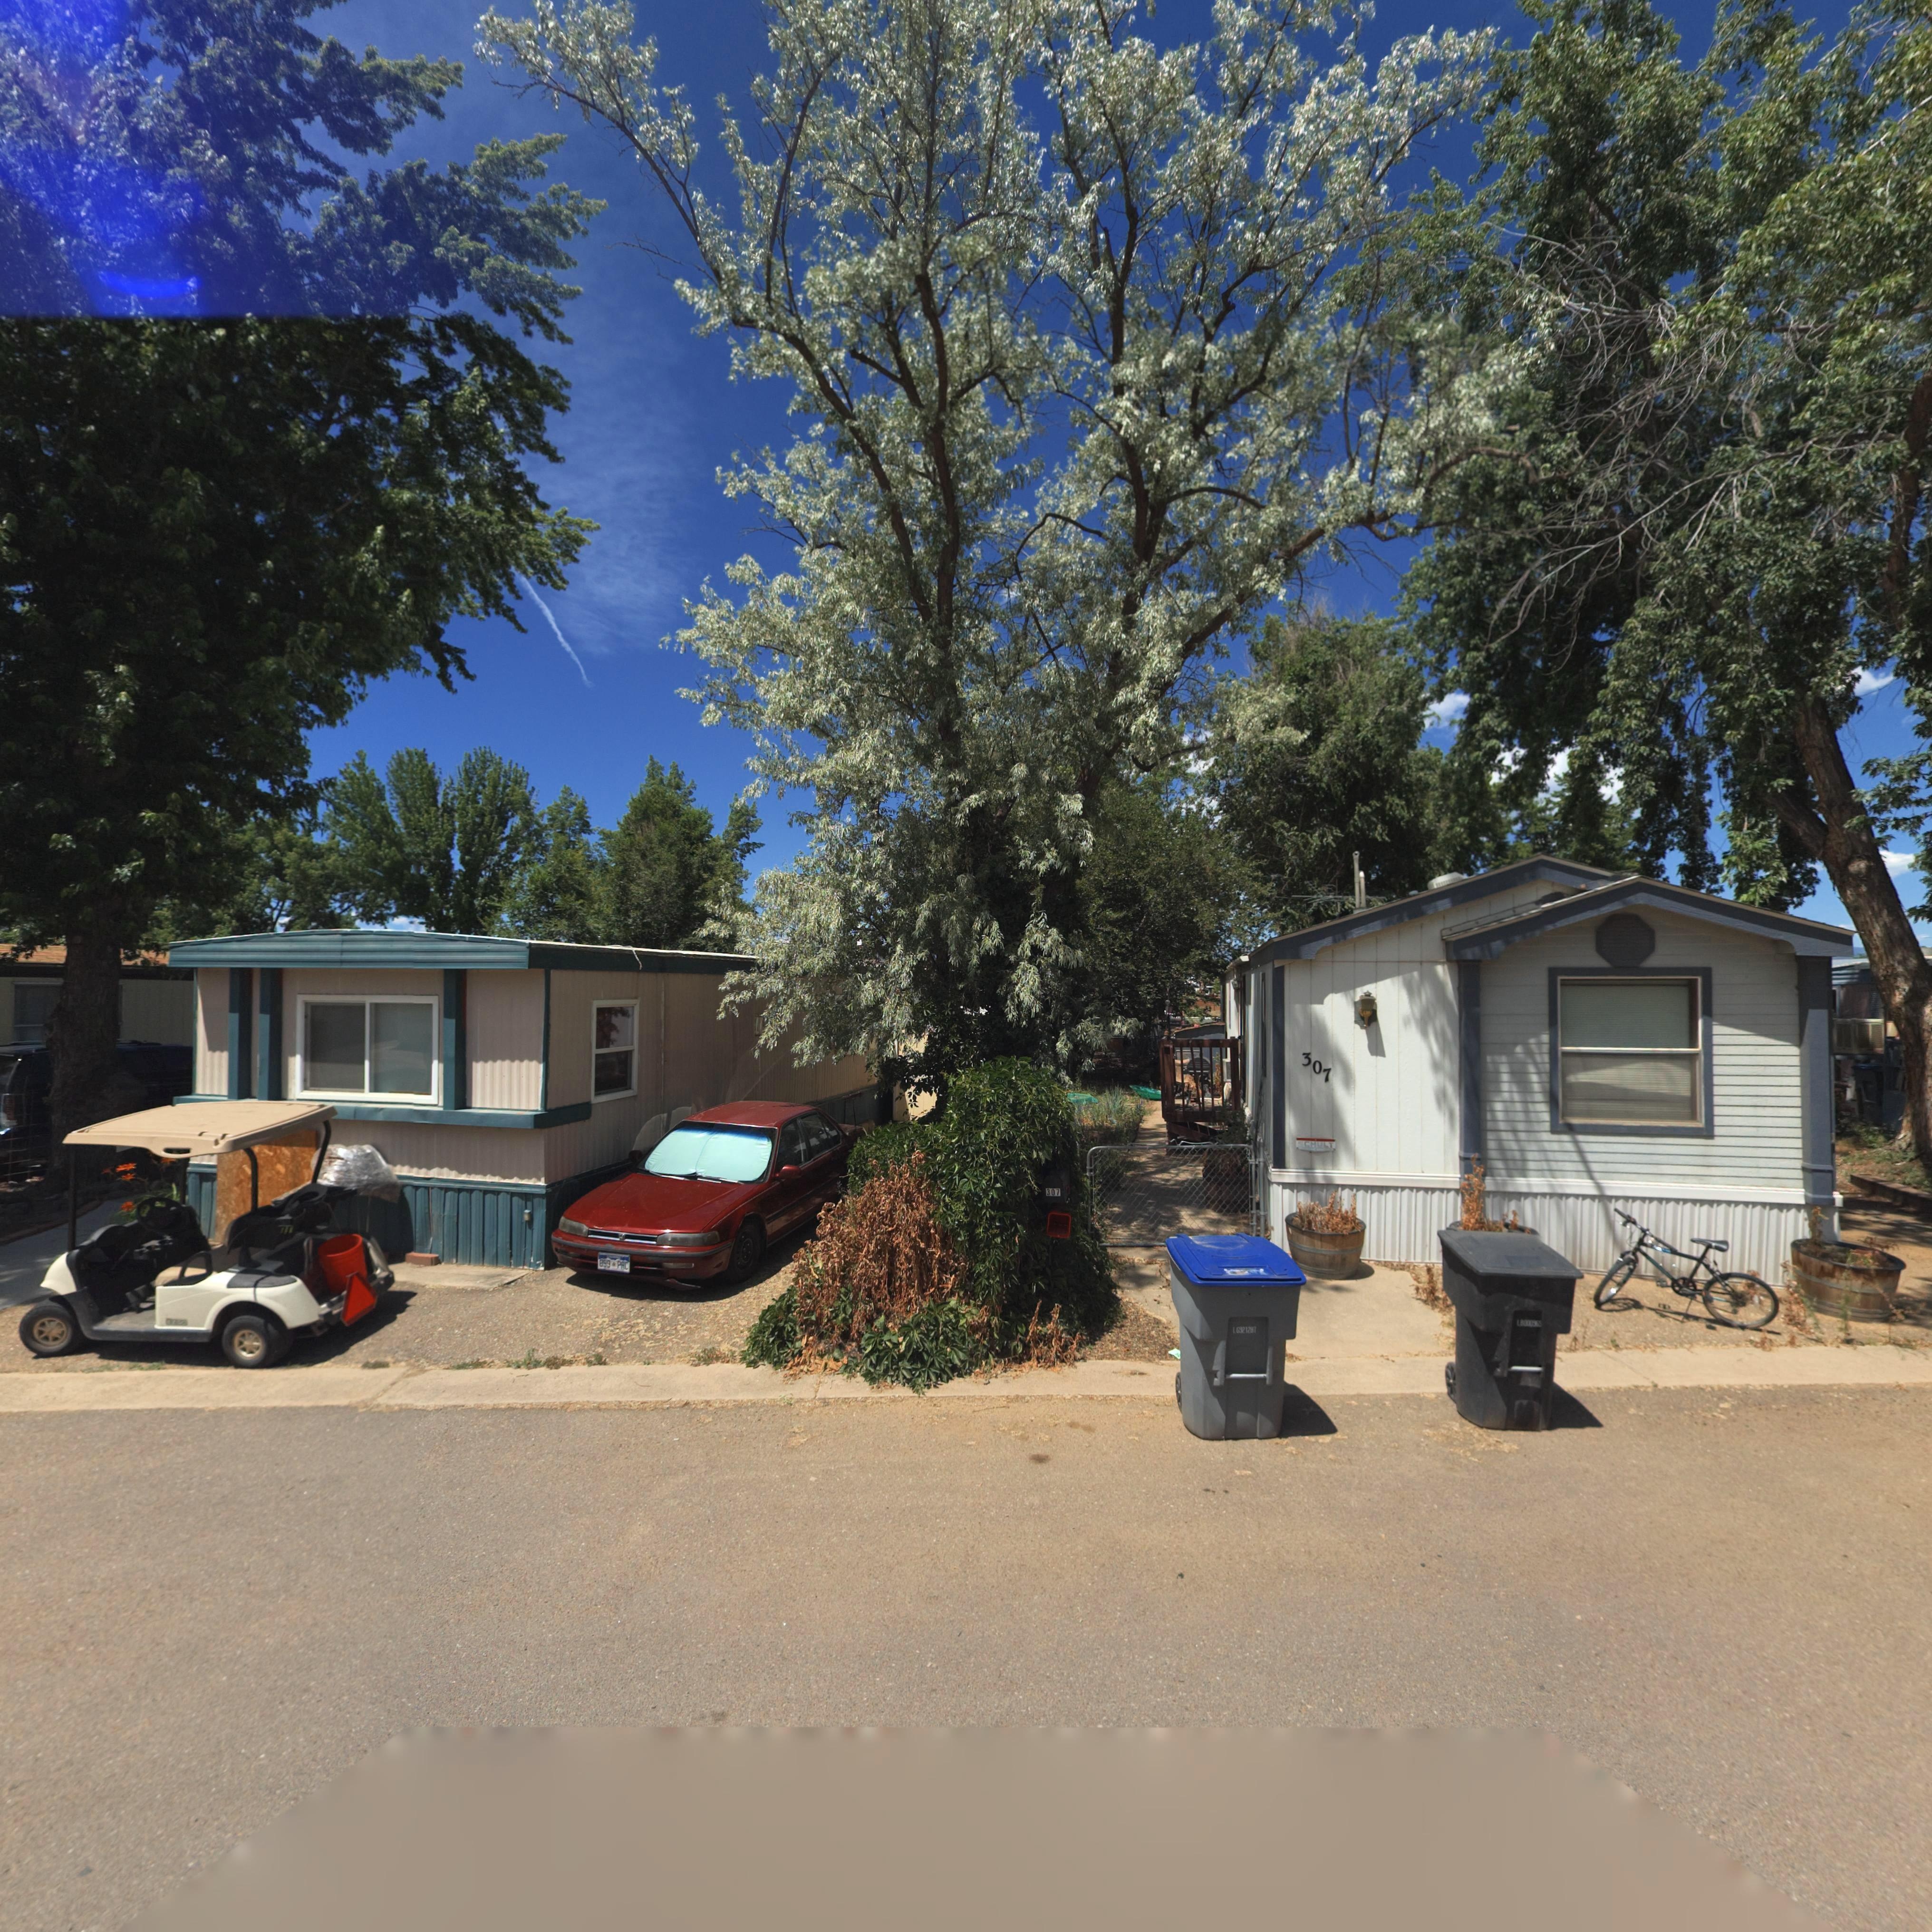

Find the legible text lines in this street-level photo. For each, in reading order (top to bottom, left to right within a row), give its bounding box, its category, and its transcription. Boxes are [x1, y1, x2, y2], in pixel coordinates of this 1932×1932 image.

[1301, 1051, 1332, 1083] StreetNumber: 307
[1046, 1188, 1059, 1196] StreetNumber: 307